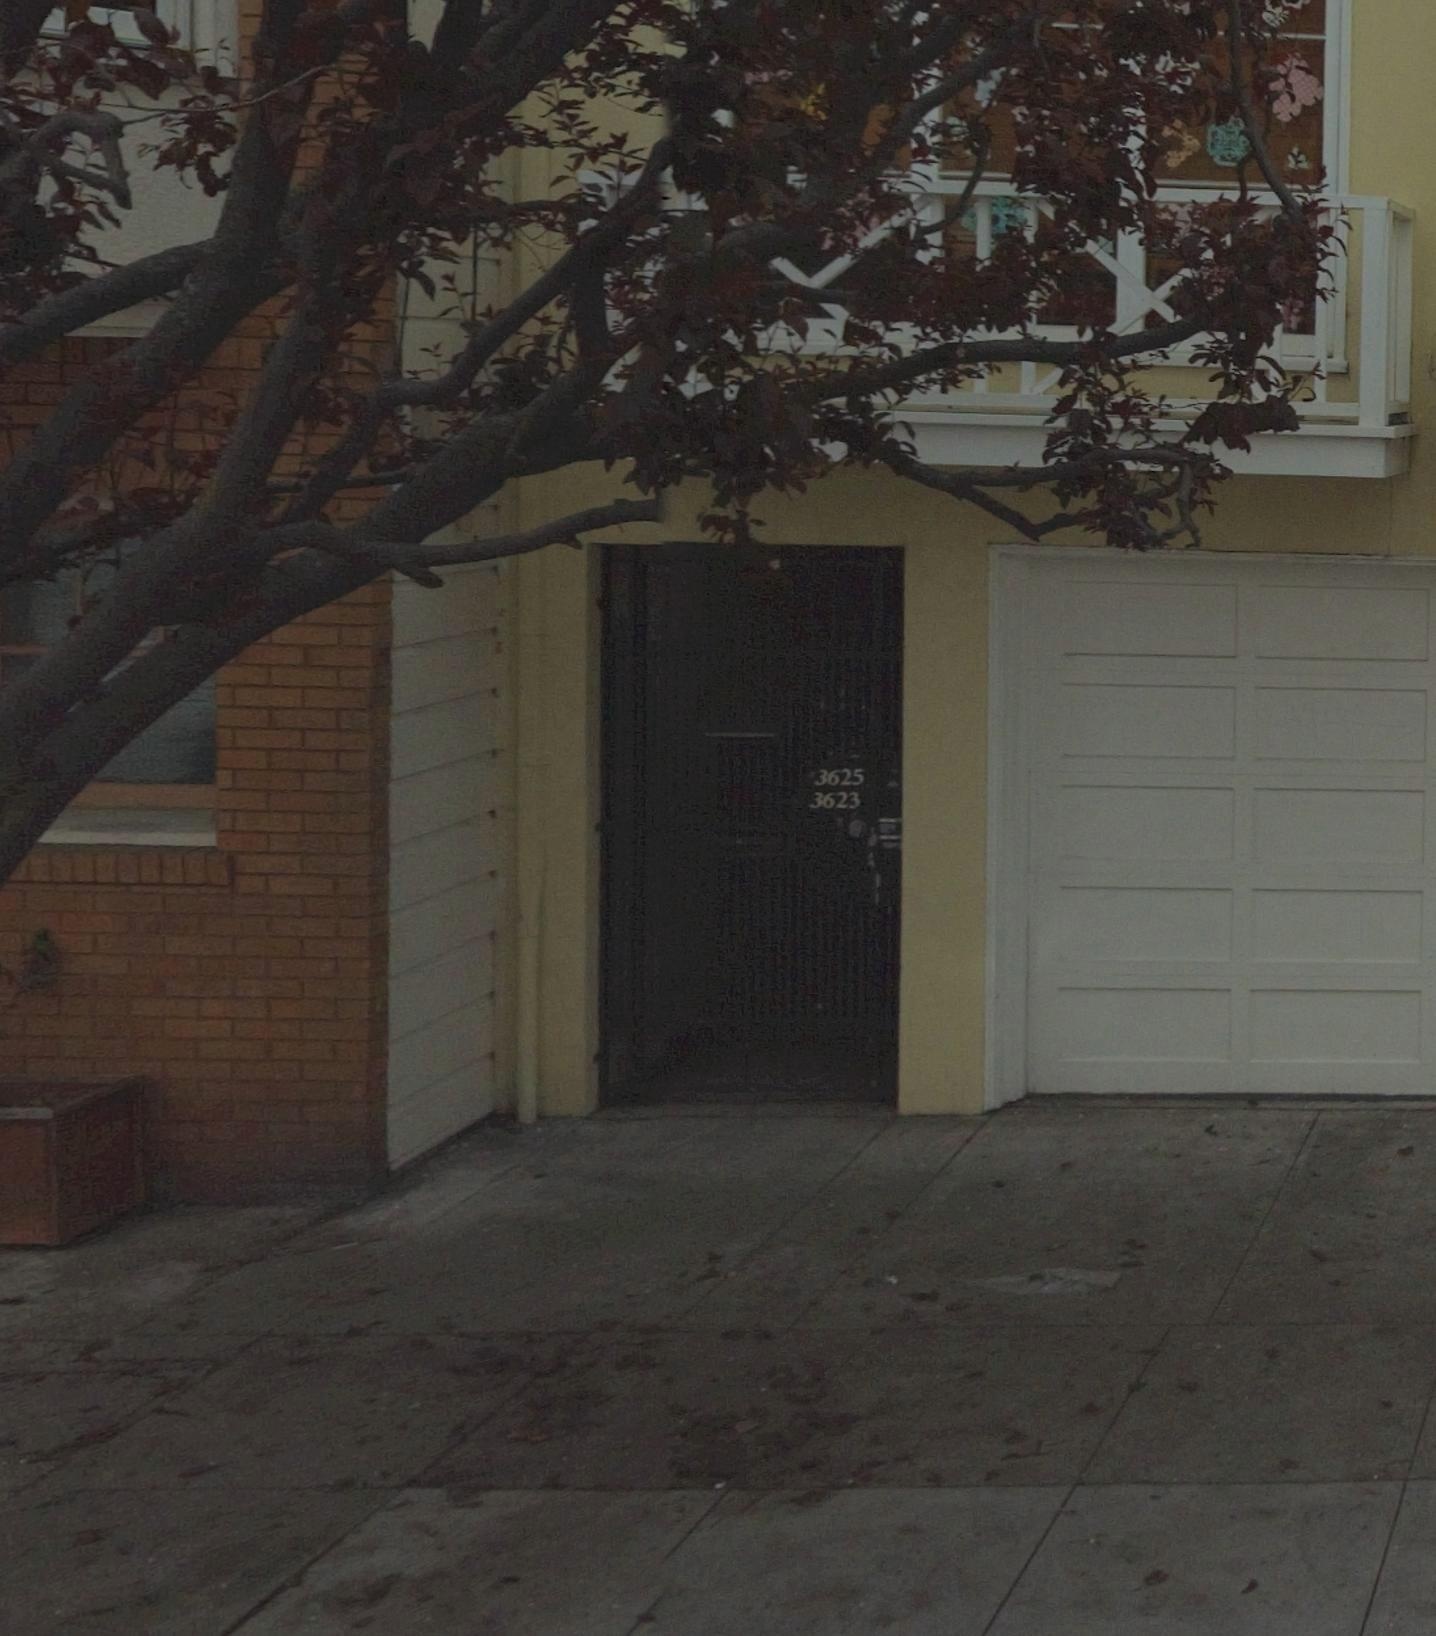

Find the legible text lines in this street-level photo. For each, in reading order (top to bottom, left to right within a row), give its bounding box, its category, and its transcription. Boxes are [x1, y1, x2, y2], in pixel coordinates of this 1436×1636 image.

[814, 767, 866, 788] StreetNumber: 3625
[808, 790, 862, 810] StreetNumber: 3623